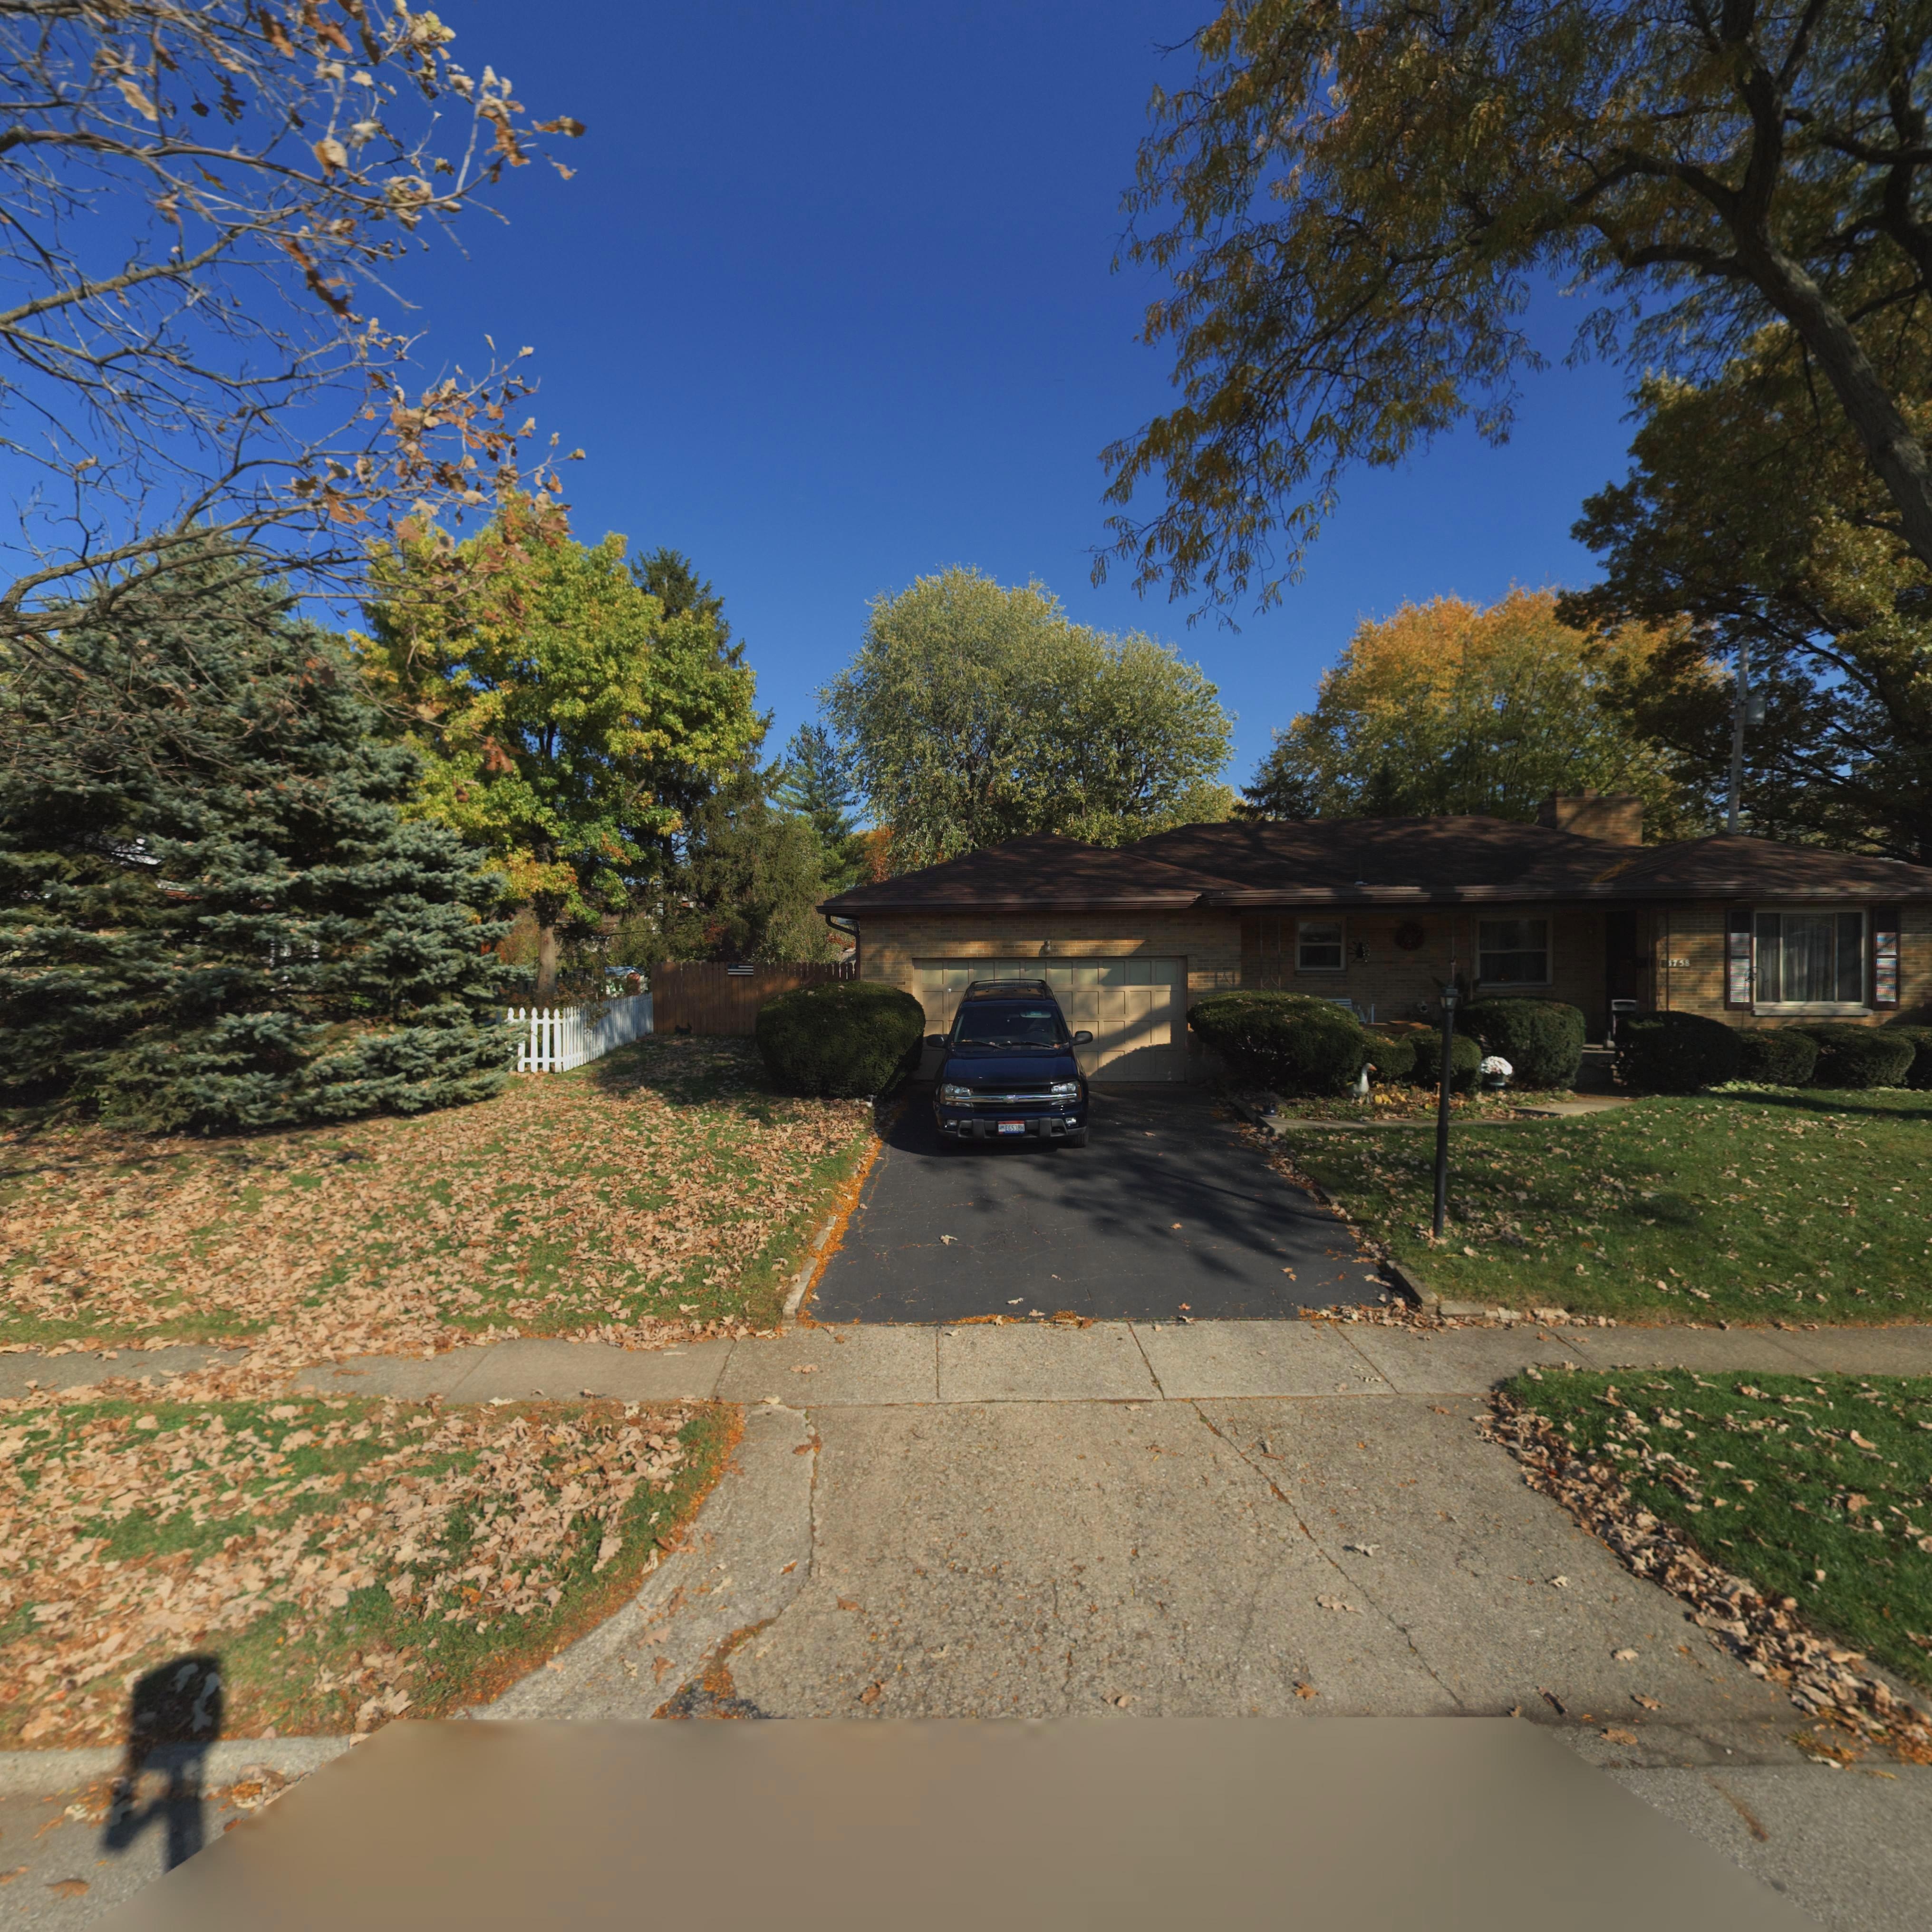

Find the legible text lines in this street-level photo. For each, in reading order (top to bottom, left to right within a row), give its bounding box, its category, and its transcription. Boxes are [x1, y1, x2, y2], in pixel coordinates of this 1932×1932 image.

[1668, 959, 1690, 967] StreetNumber: *758
[1005, 1125, 1024, 1132] None: EG53BH